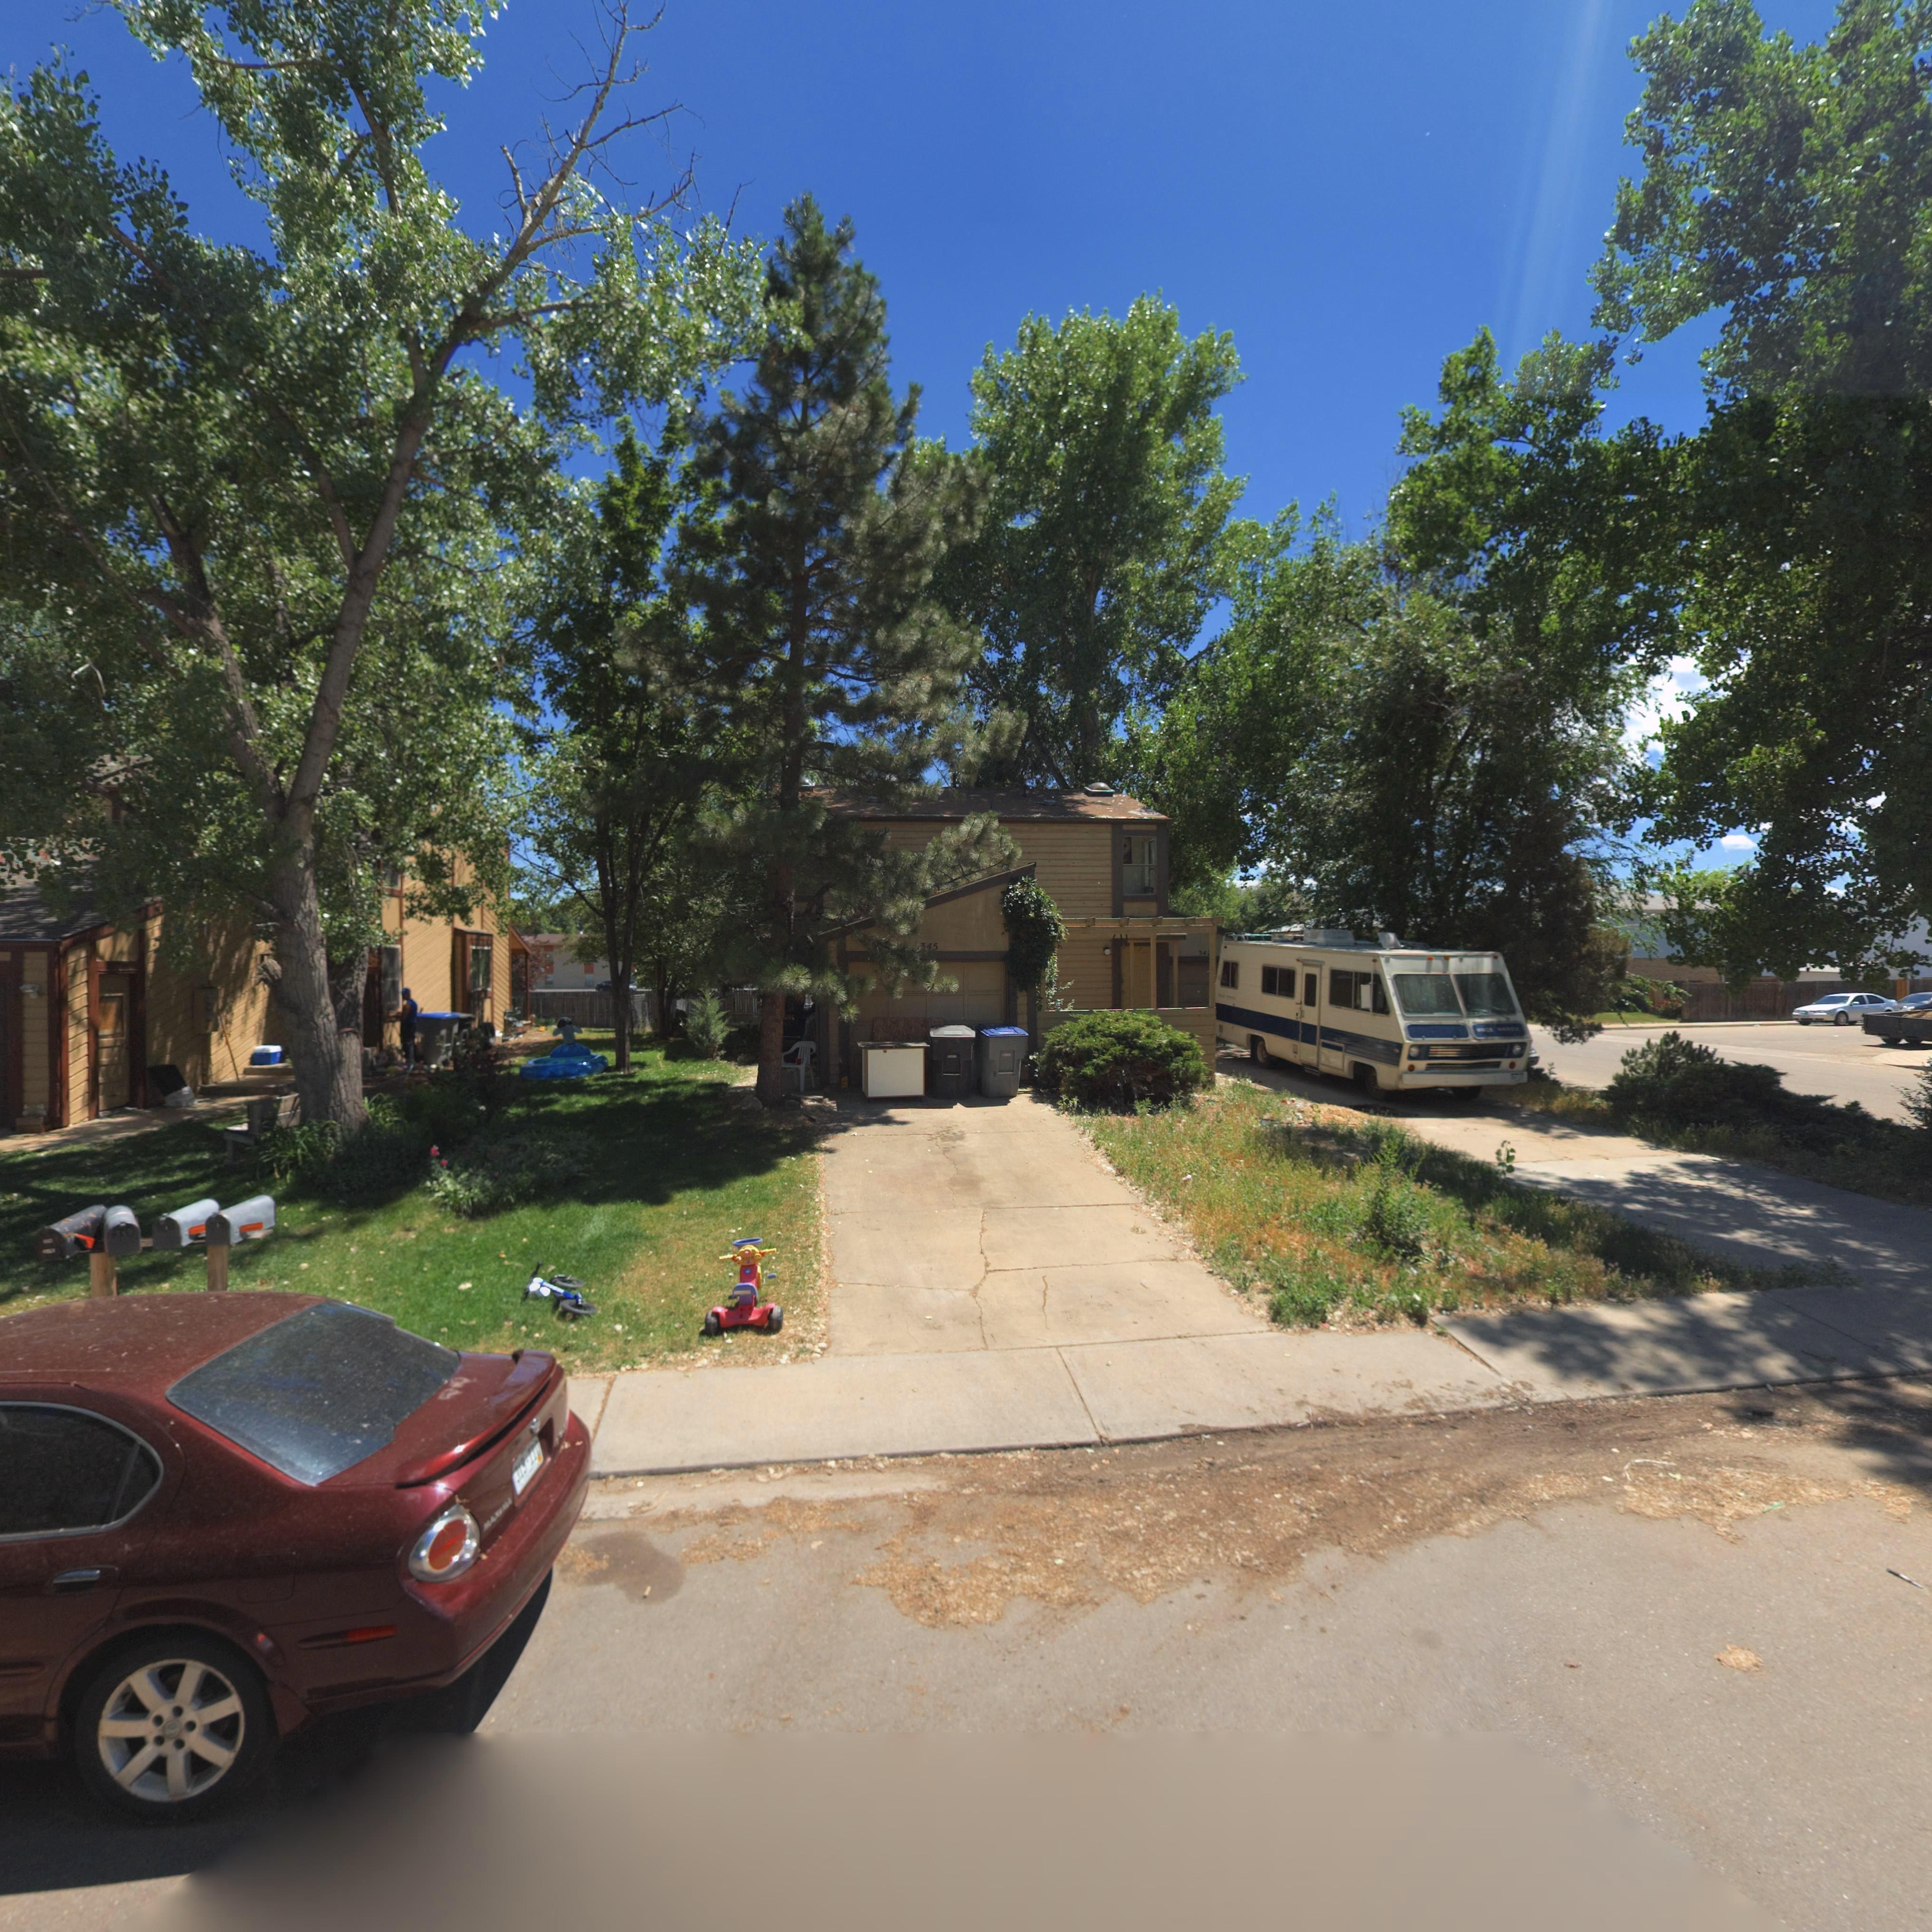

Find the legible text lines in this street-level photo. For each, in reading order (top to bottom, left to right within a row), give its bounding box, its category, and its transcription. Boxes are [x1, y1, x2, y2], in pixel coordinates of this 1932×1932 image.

[919, 942, 938, 951] StreetNumber: *45
[1198, 949, 1210, 956] StreetNumber: 34*
[113, 1226, 134, 1238] StreetNumber: 349